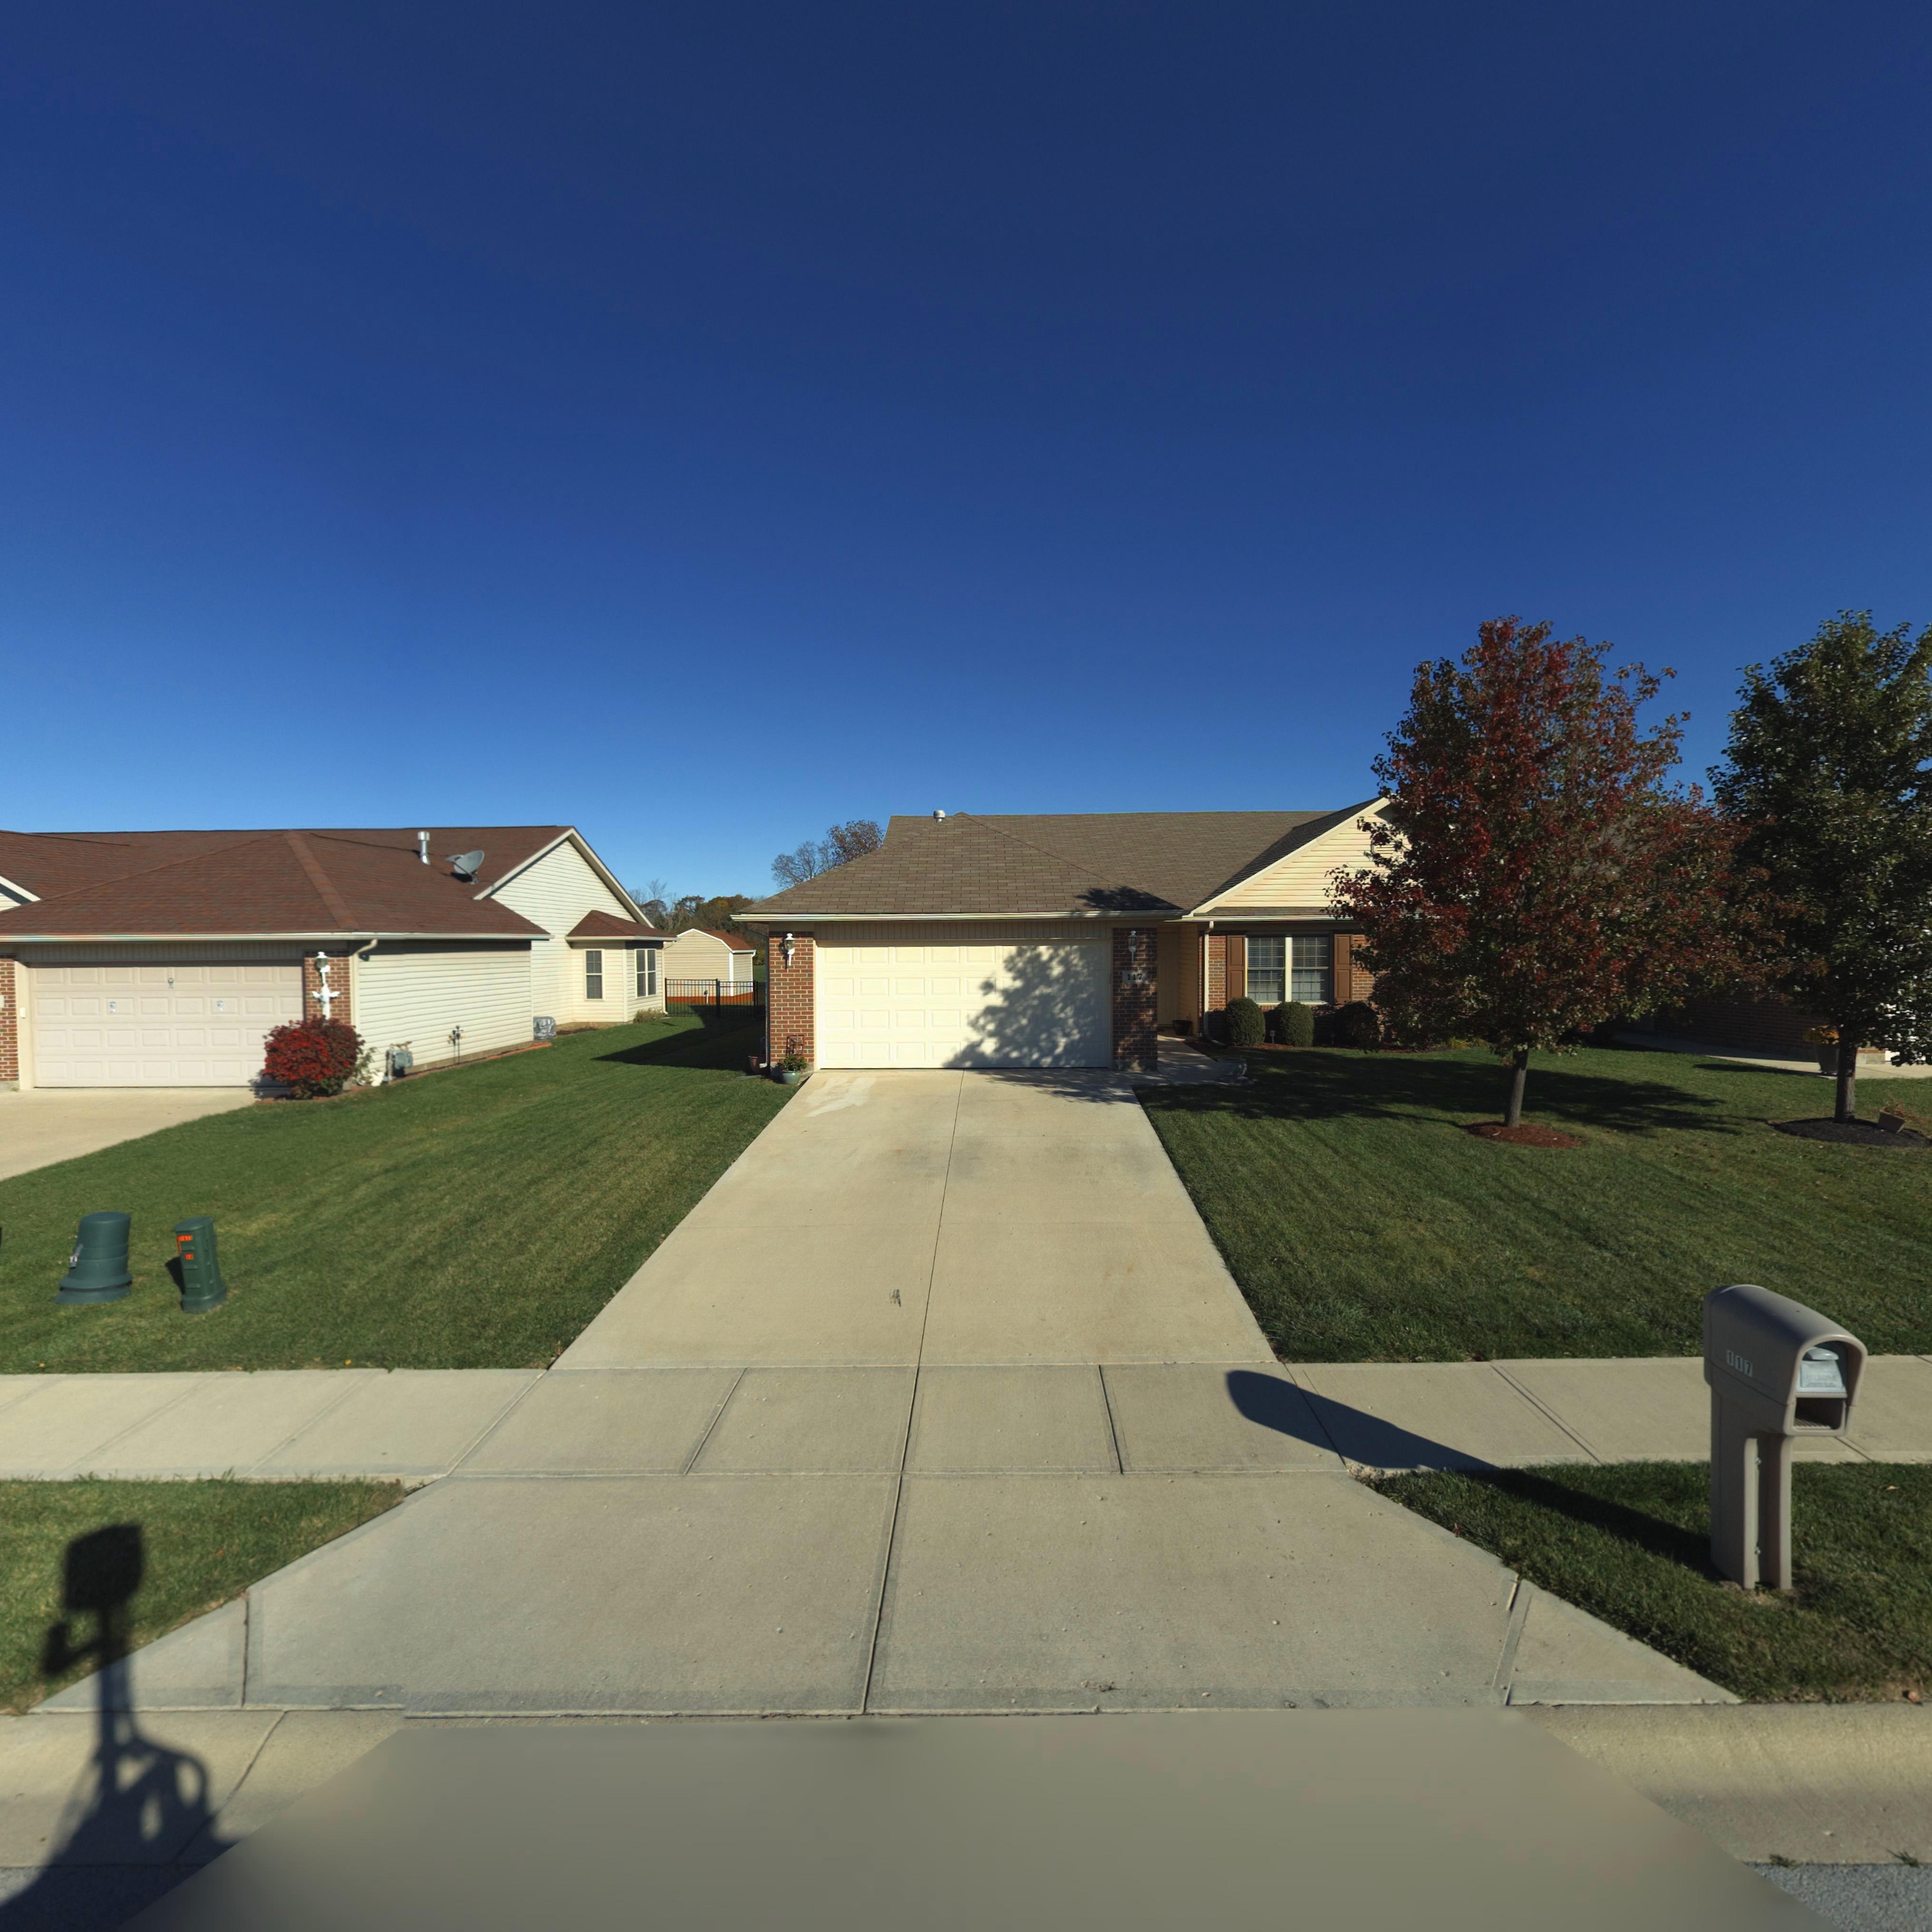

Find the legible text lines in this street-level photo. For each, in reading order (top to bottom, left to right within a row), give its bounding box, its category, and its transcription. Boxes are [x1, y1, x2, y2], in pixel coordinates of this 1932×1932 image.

[1126, 972, 1144, 981] StreetNumber: 117
[1727, 1350, 1754, 1376] StreetNumber: 117